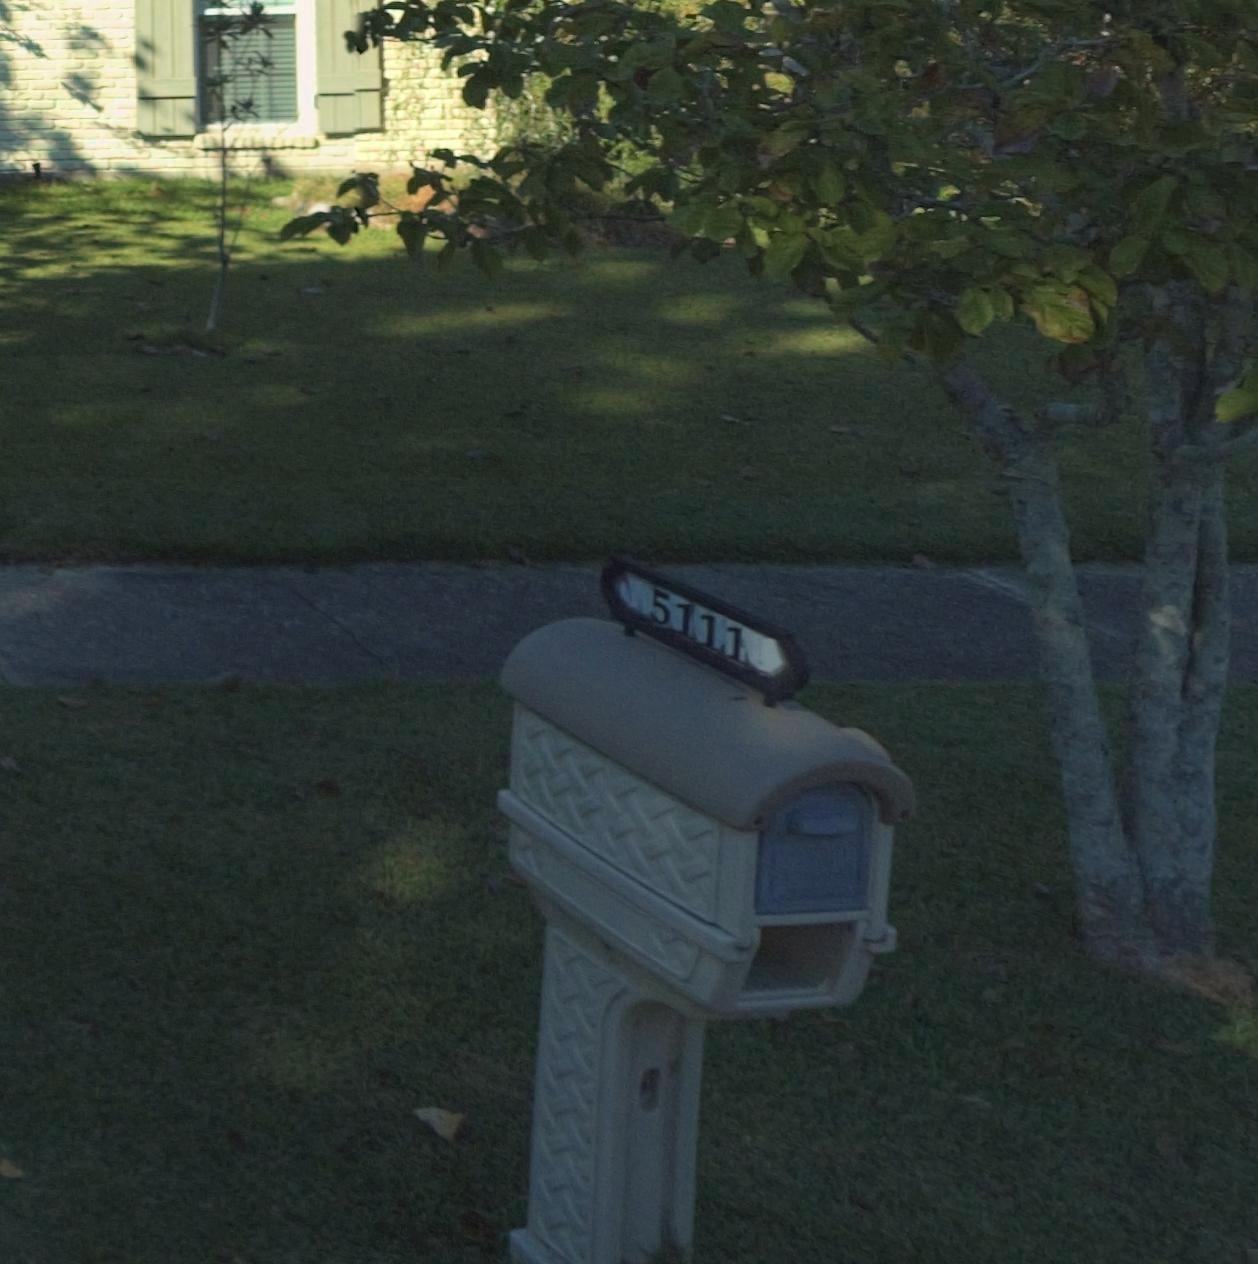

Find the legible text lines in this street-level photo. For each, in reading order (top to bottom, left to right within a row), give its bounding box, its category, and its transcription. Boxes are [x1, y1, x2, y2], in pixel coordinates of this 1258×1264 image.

[644, 584, 747, 671] StreetNumber: 5111